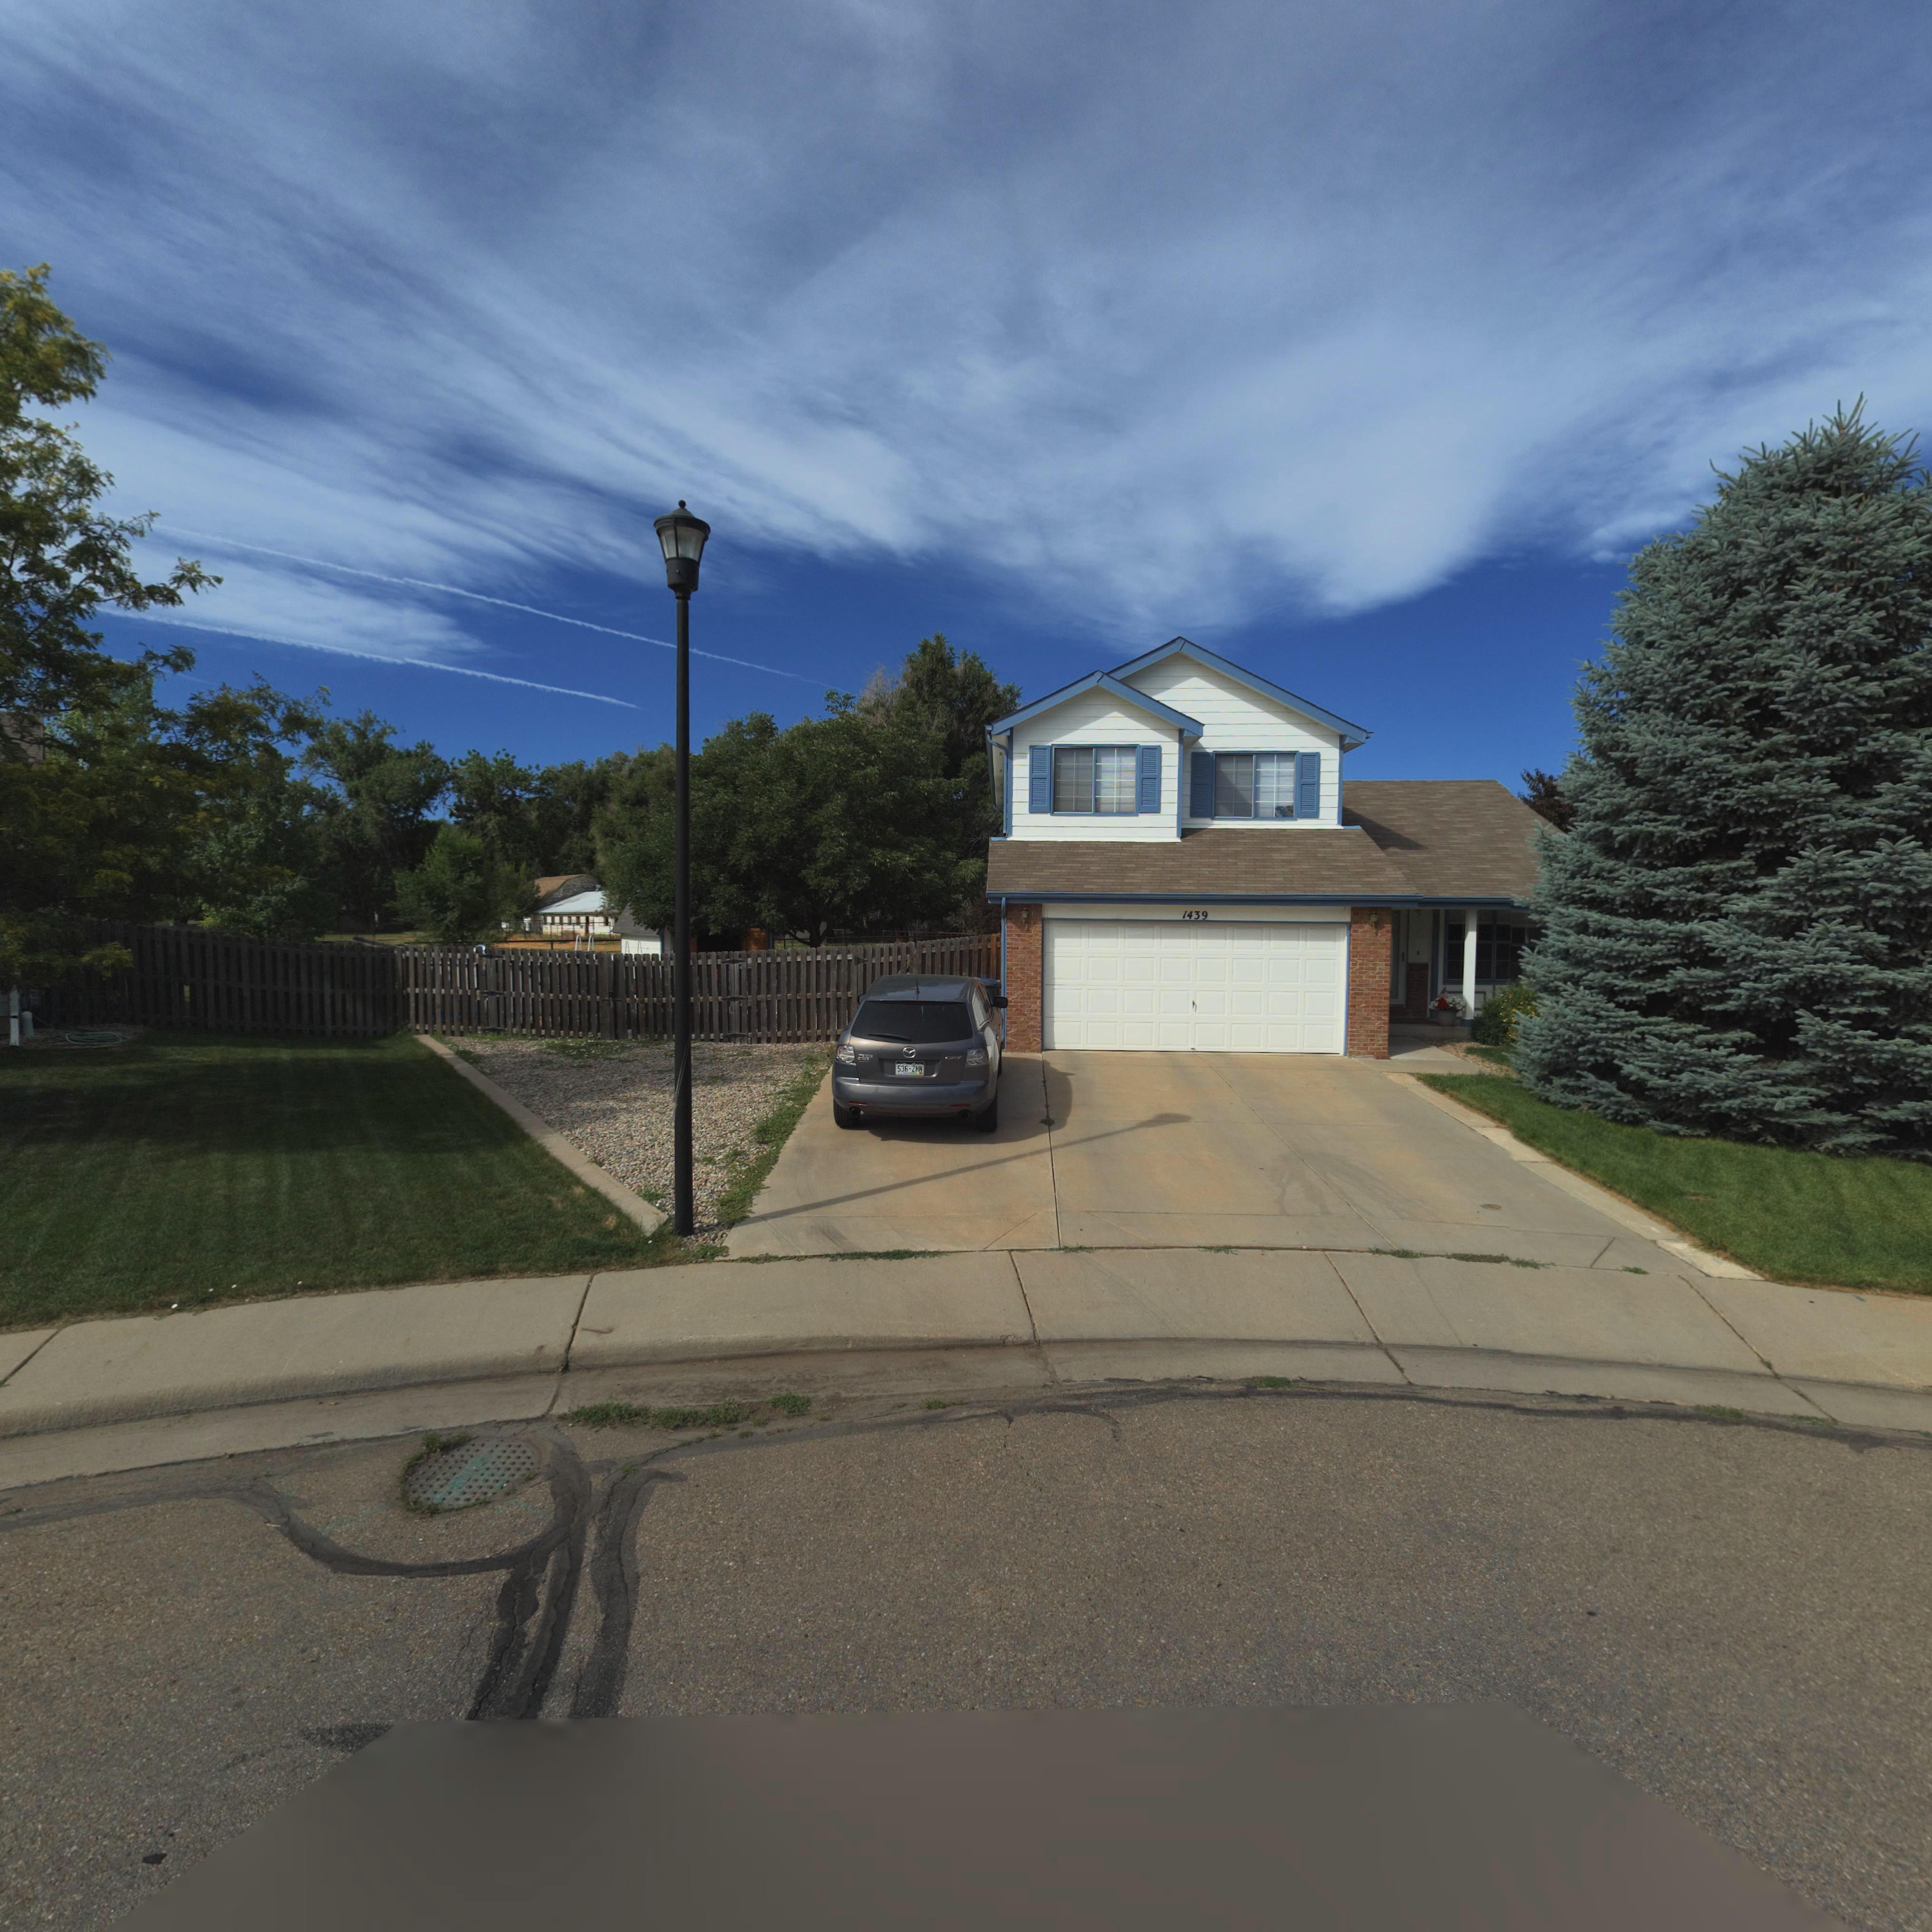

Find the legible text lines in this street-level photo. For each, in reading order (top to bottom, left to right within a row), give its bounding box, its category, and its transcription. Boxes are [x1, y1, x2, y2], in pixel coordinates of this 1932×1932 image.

[1181, 910, 1208, 920] StreetNumber: 1439